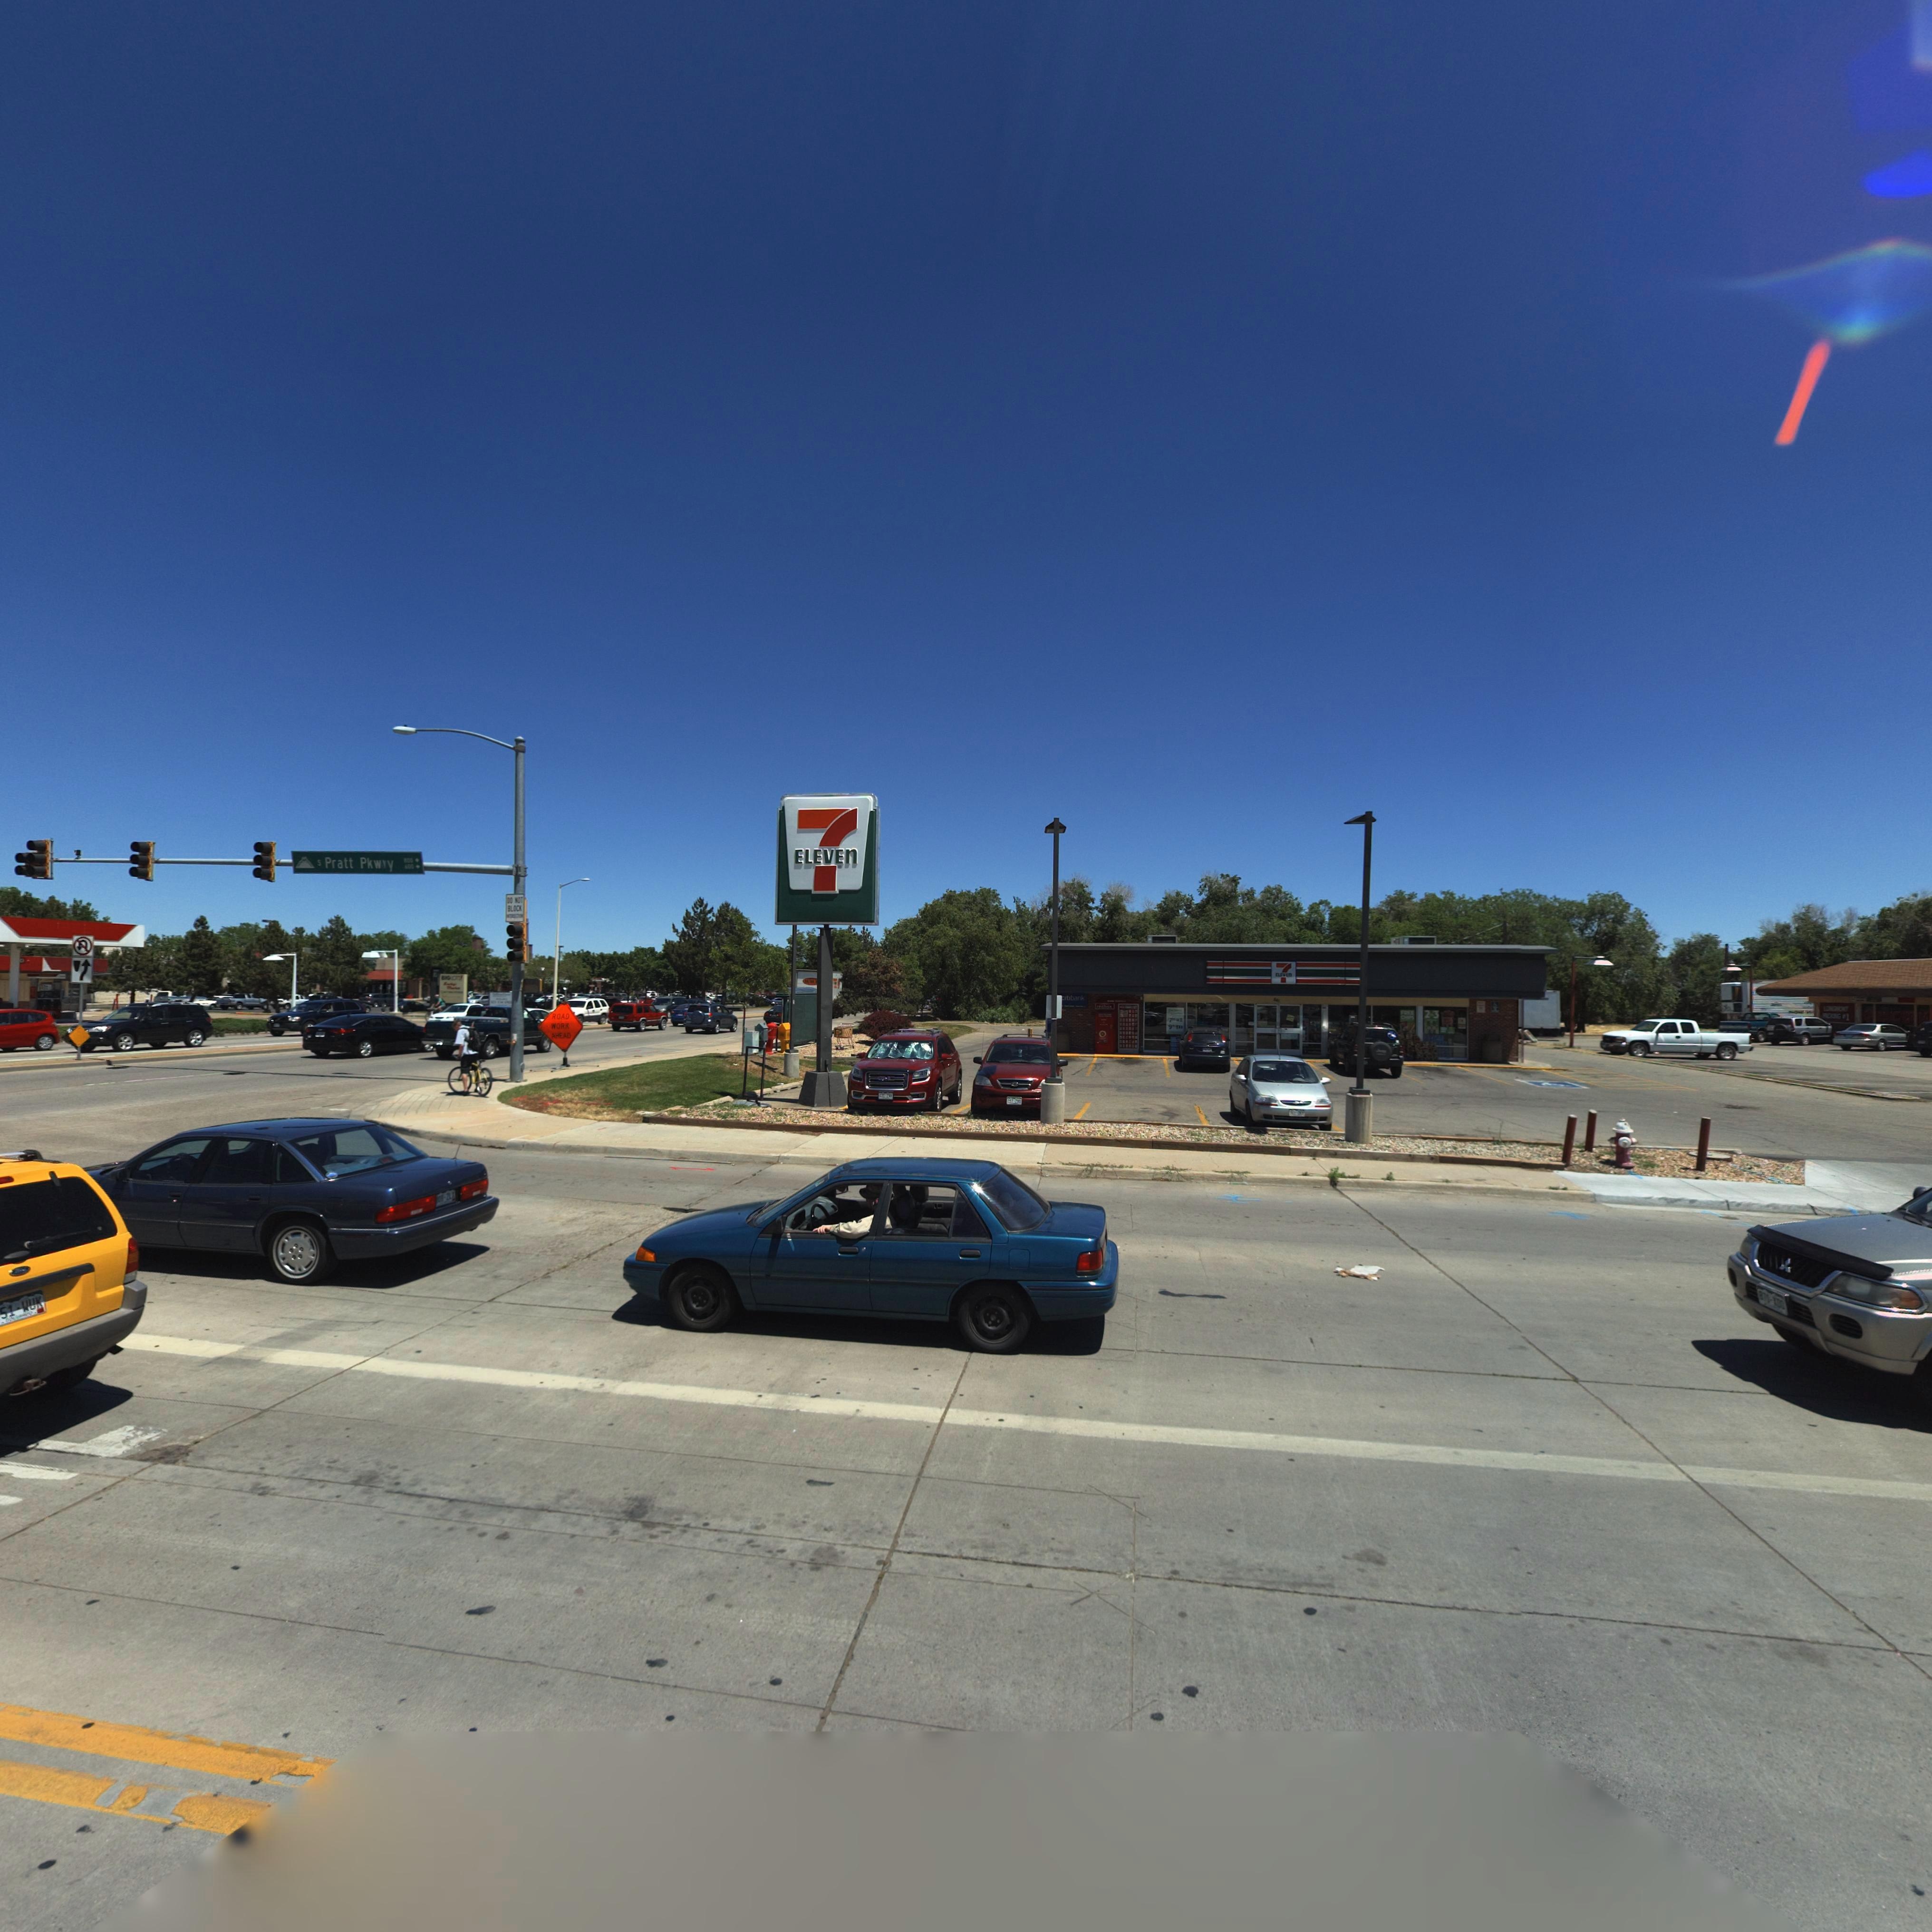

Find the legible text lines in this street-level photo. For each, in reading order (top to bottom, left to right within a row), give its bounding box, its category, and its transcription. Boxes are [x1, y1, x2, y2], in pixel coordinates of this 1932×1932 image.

[797, 807, 858, 891] BusinessName: 7
[794, 848, 858, 864] BusinessName: ELEVEn
[404, 857, 413, 863] StreetNumberRange: *00
[317, 857, 394, 872] StreetName: S Pratt Pkwy
[404, 863, 420, 869] StreetNumberRange: *00 ->
[1275, 972, 1292, 976] BusinessName: ELEVEn
[1276, 962, 1292, 983] BusinessName: 7
[441, 975, 463, 980] BusinessName: BIG *OT**
[1274, 997, 1280, 1003] StreetNumber: **1